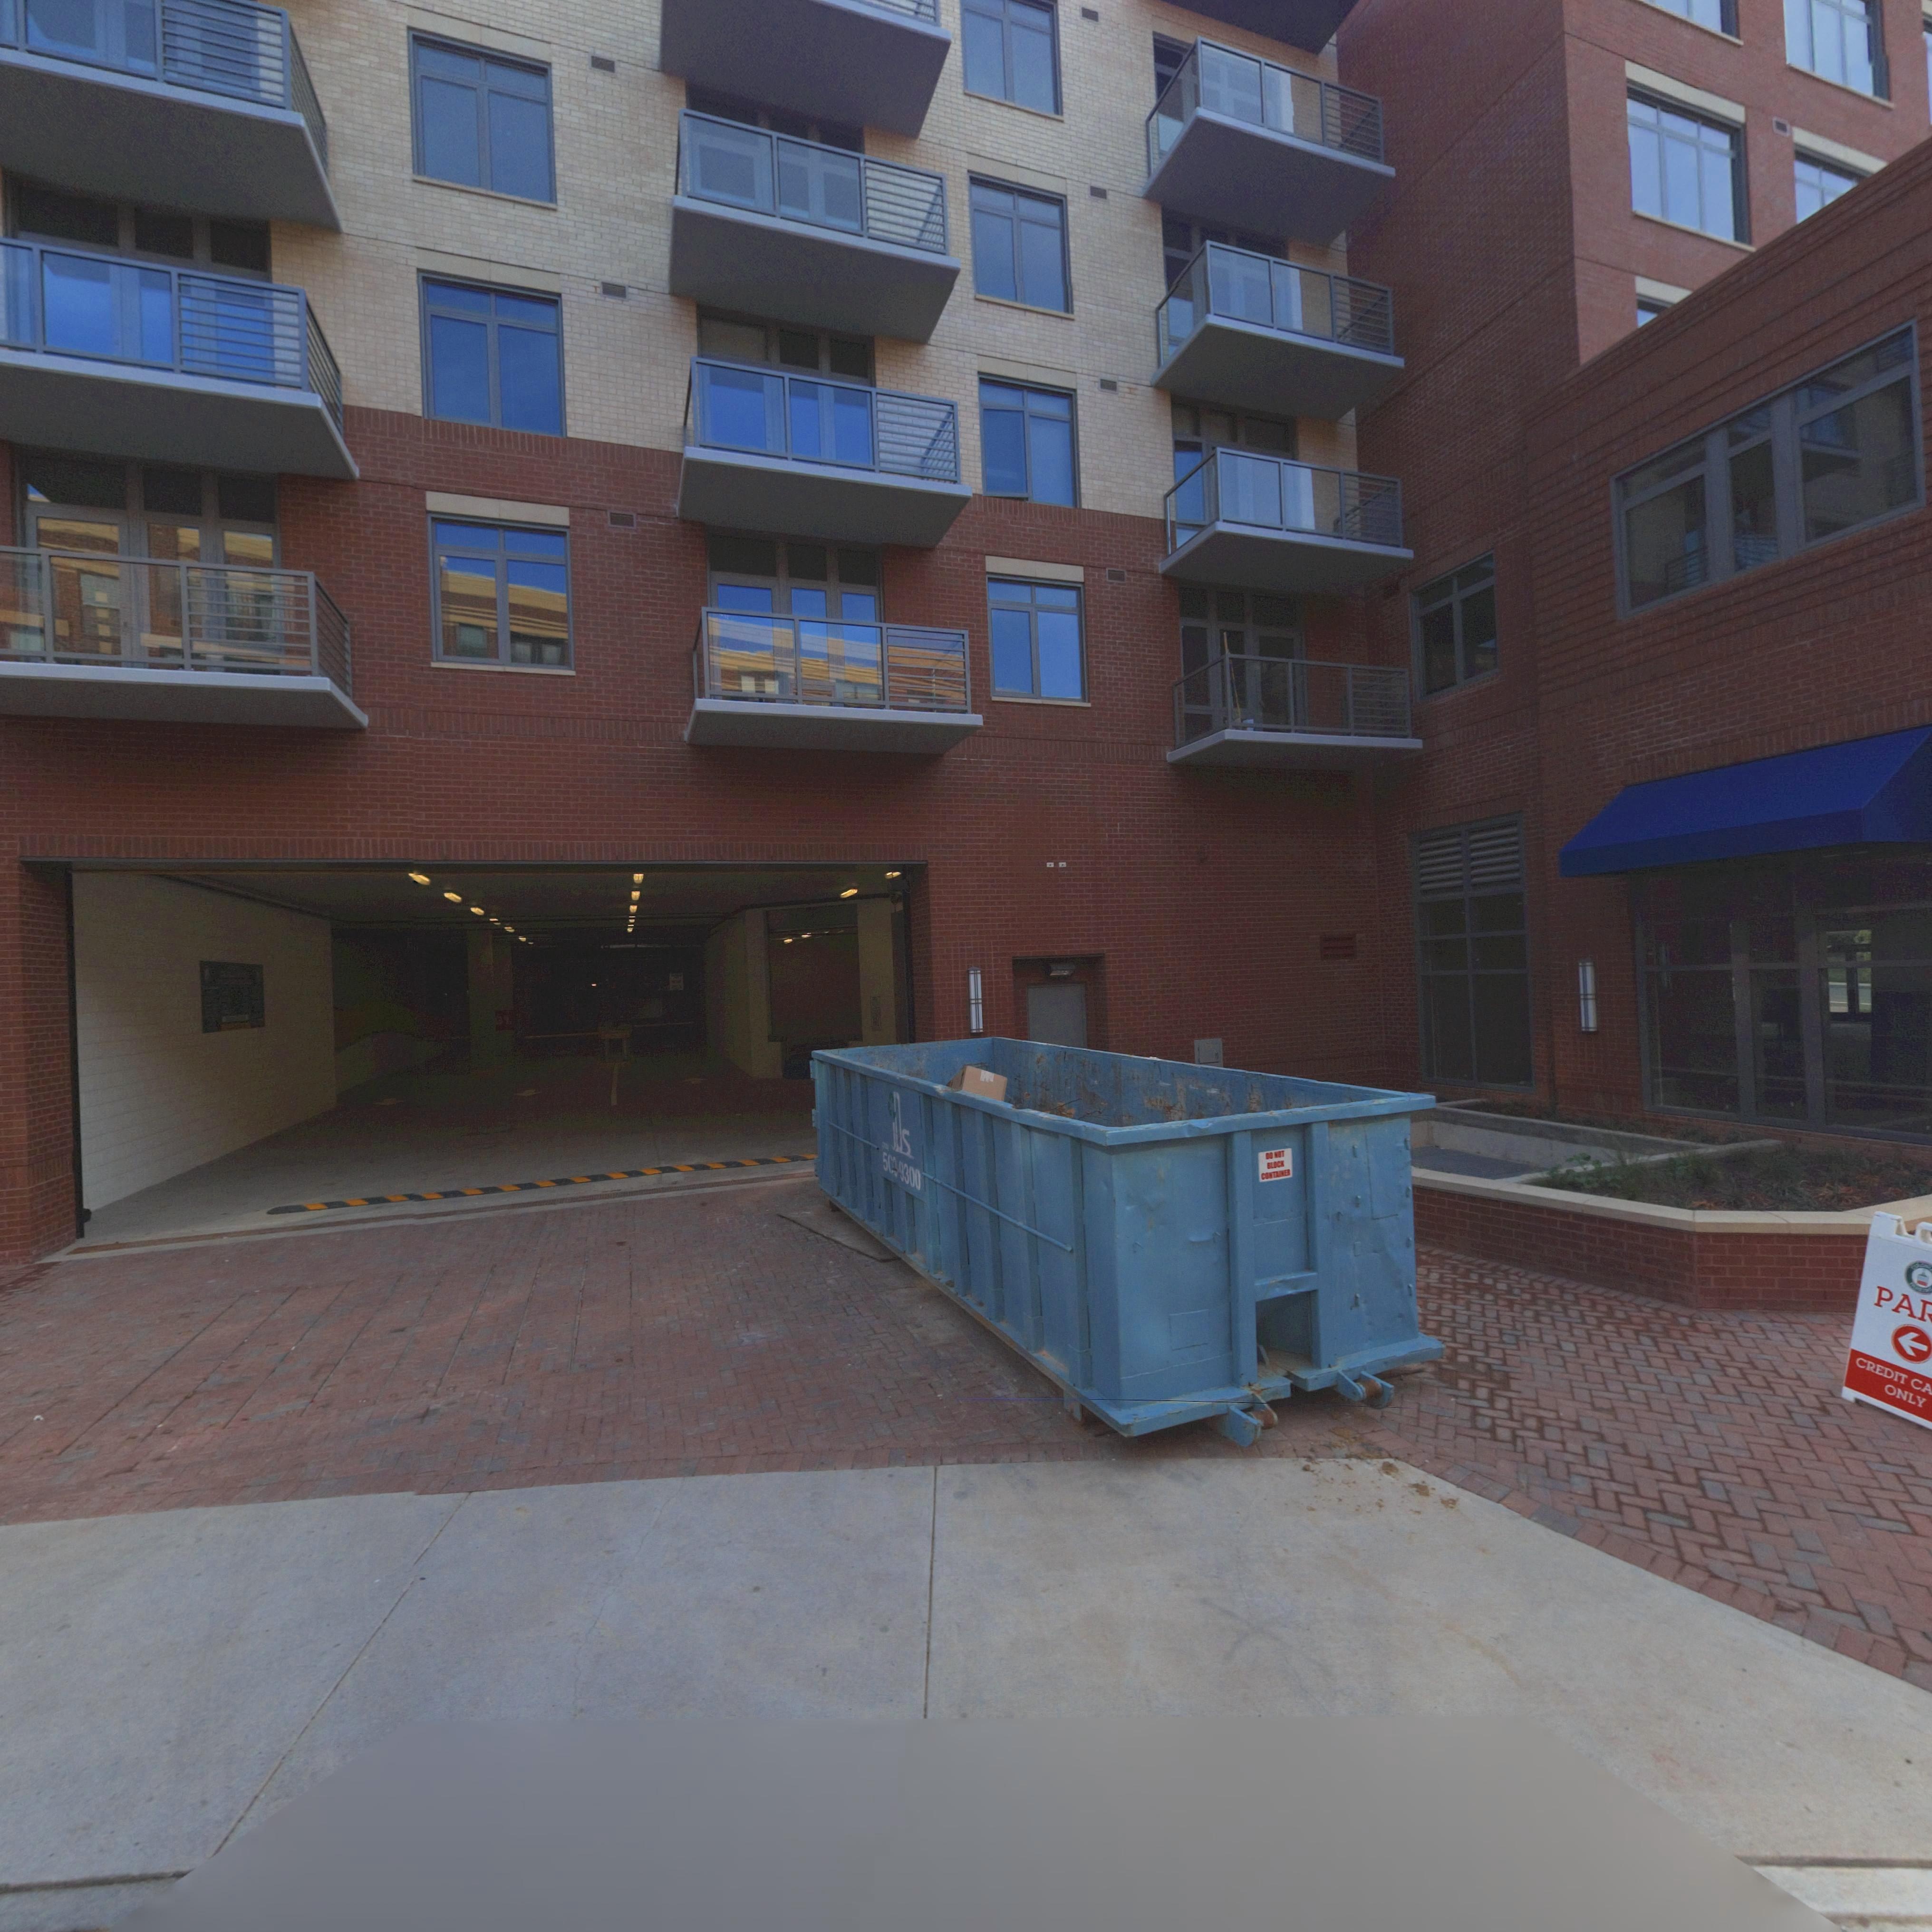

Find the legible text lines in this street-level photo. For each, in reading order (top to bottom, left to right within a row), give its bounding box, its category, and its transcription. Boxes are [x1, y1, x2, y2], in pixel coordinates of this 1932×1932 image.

[882, 1150, 921, 1192] None: 5** 9300
[901, 1127, 912, 1158] None: S
[1265, 1149, 1286, 1161] None: DO NOT
[1266, 1159, 1286, 1170] None: BLOCK
[1260, 1168, 1292, 1181] None: CONTAINER
[1873, 1284, 1918, 1321] None: PA
[1855, 1356, 1924, 1391] None: CREDIT C
[1883, 1383, 1929, 1410] None: ONLY